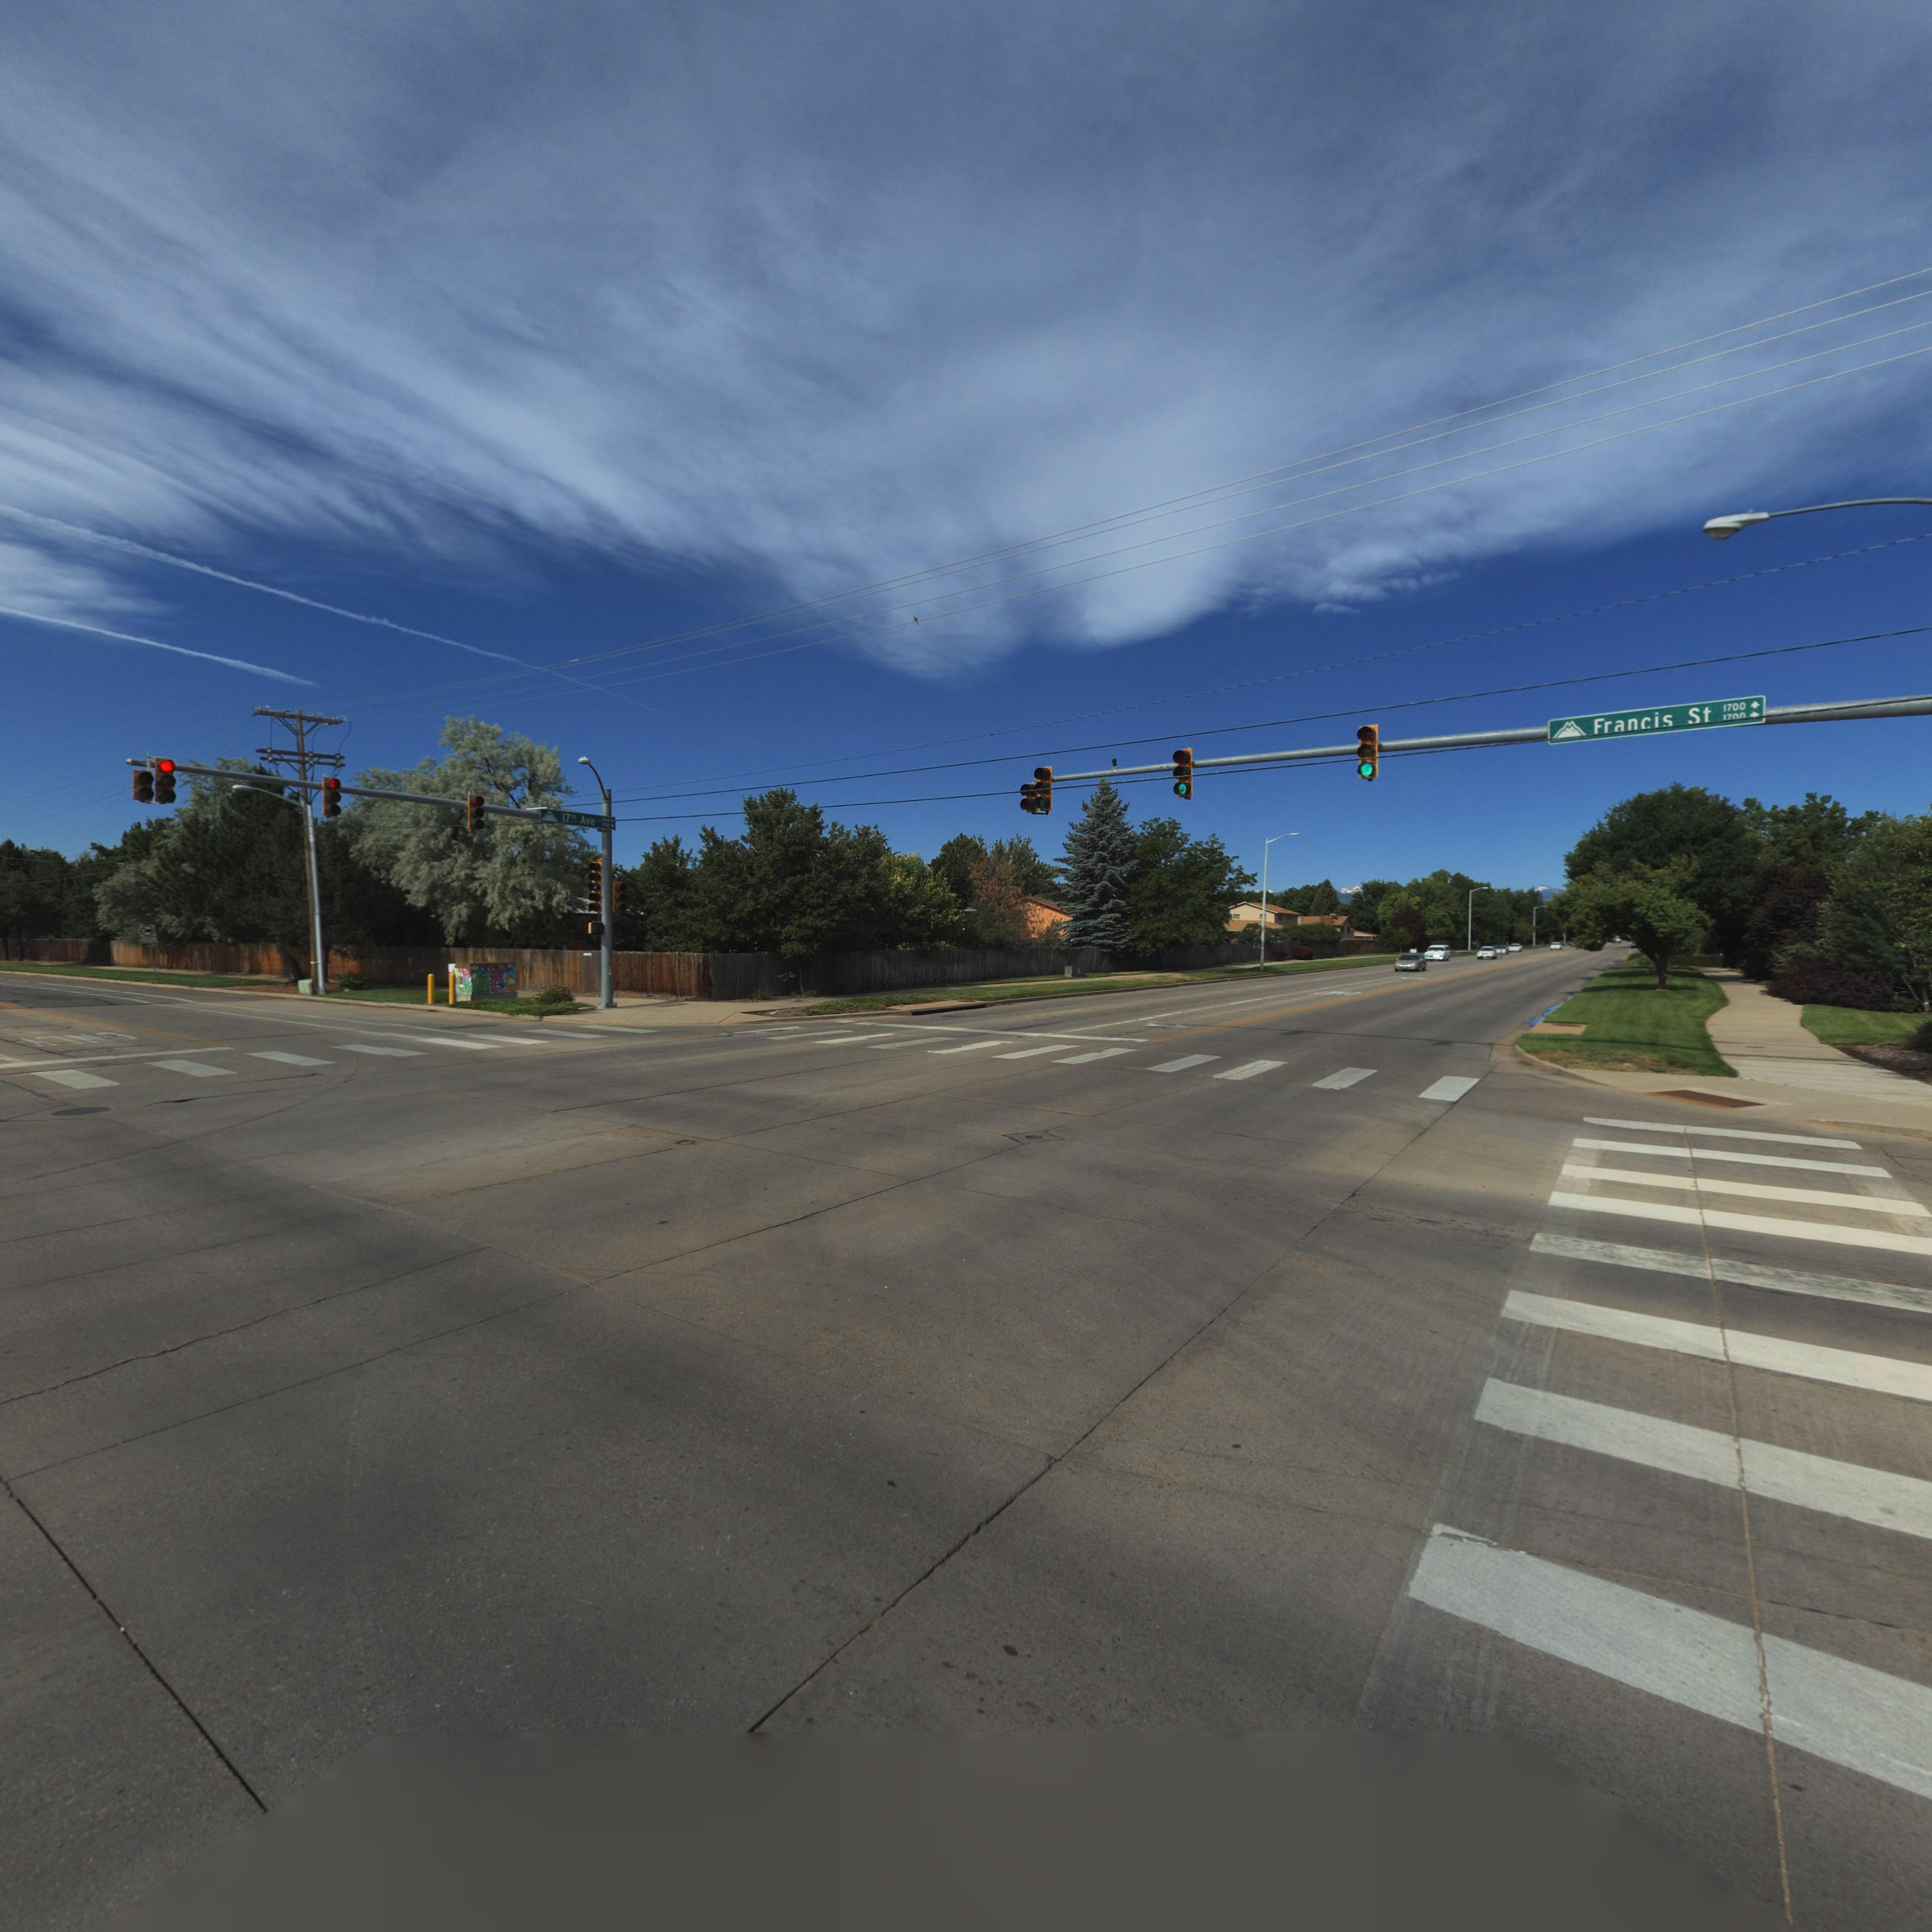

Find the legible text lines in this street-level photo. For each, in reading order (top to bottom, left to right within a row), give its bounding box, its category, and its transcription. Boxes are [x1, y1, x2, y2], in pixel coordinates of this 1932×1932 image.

[1722, 701, 1747, 713] StreetNumberRange: 1700
[1593, 705, 1711, 735] StreetName: Francis St
[1722, 710, 1760, 723] StreetNumberRange: **** ->
[561, 812, 595, 826] StreetName: 17th Ave
[601, 822, 614, 828] StreetNumberRange: **00 ->